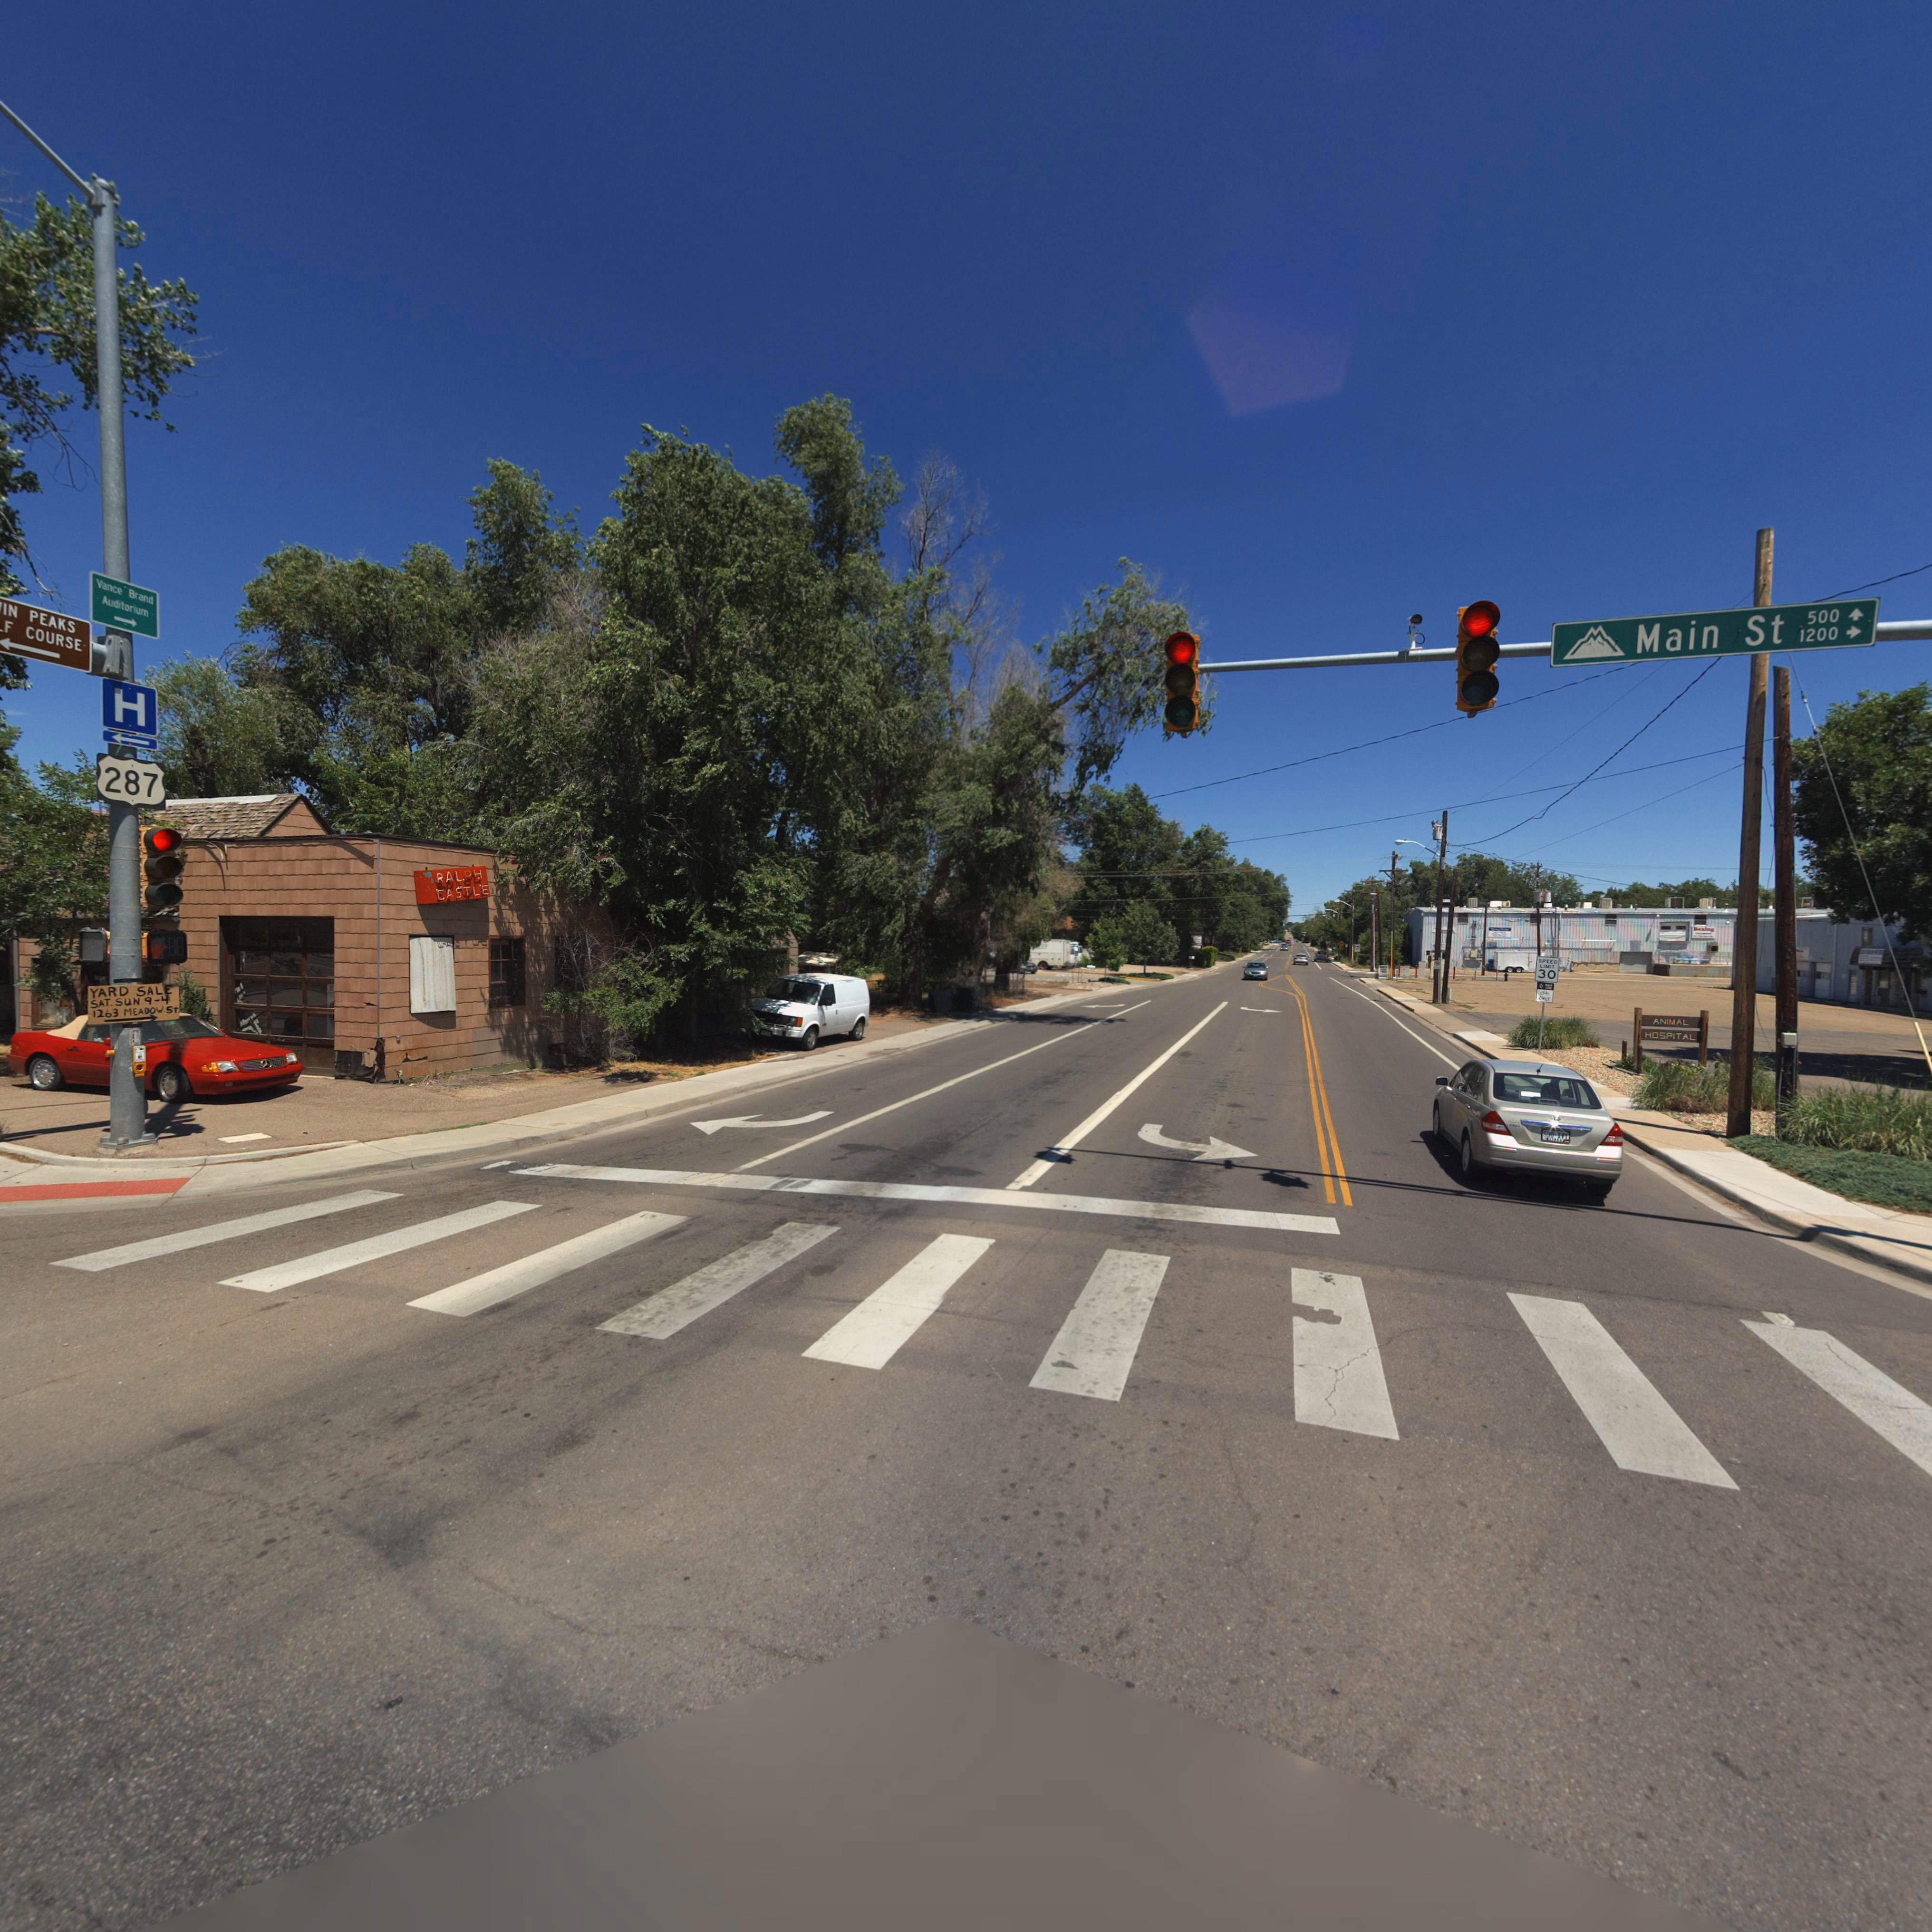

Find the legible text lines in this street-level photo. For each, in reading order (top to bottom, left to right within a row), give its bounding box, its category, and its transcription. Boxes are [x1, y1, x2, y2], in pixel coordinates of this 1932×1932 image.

[1806, 608, 1840, 625] StreetNumberRange: 500
[1636, 613, 1785, 653] StreetName: Main St
[1799, 624, 1862, 642] StreetNumberRange: 1200 ->
[436, 869, 482, 883] BusinessName: RALPH
[436, 884, 489, 900] BusinessName: CASTLE
[1652, 1018, 1689, 1025] BusinessName: ANIMAL
[1644, 1031, 1695, 1040] BusinessName: HOSPITAL